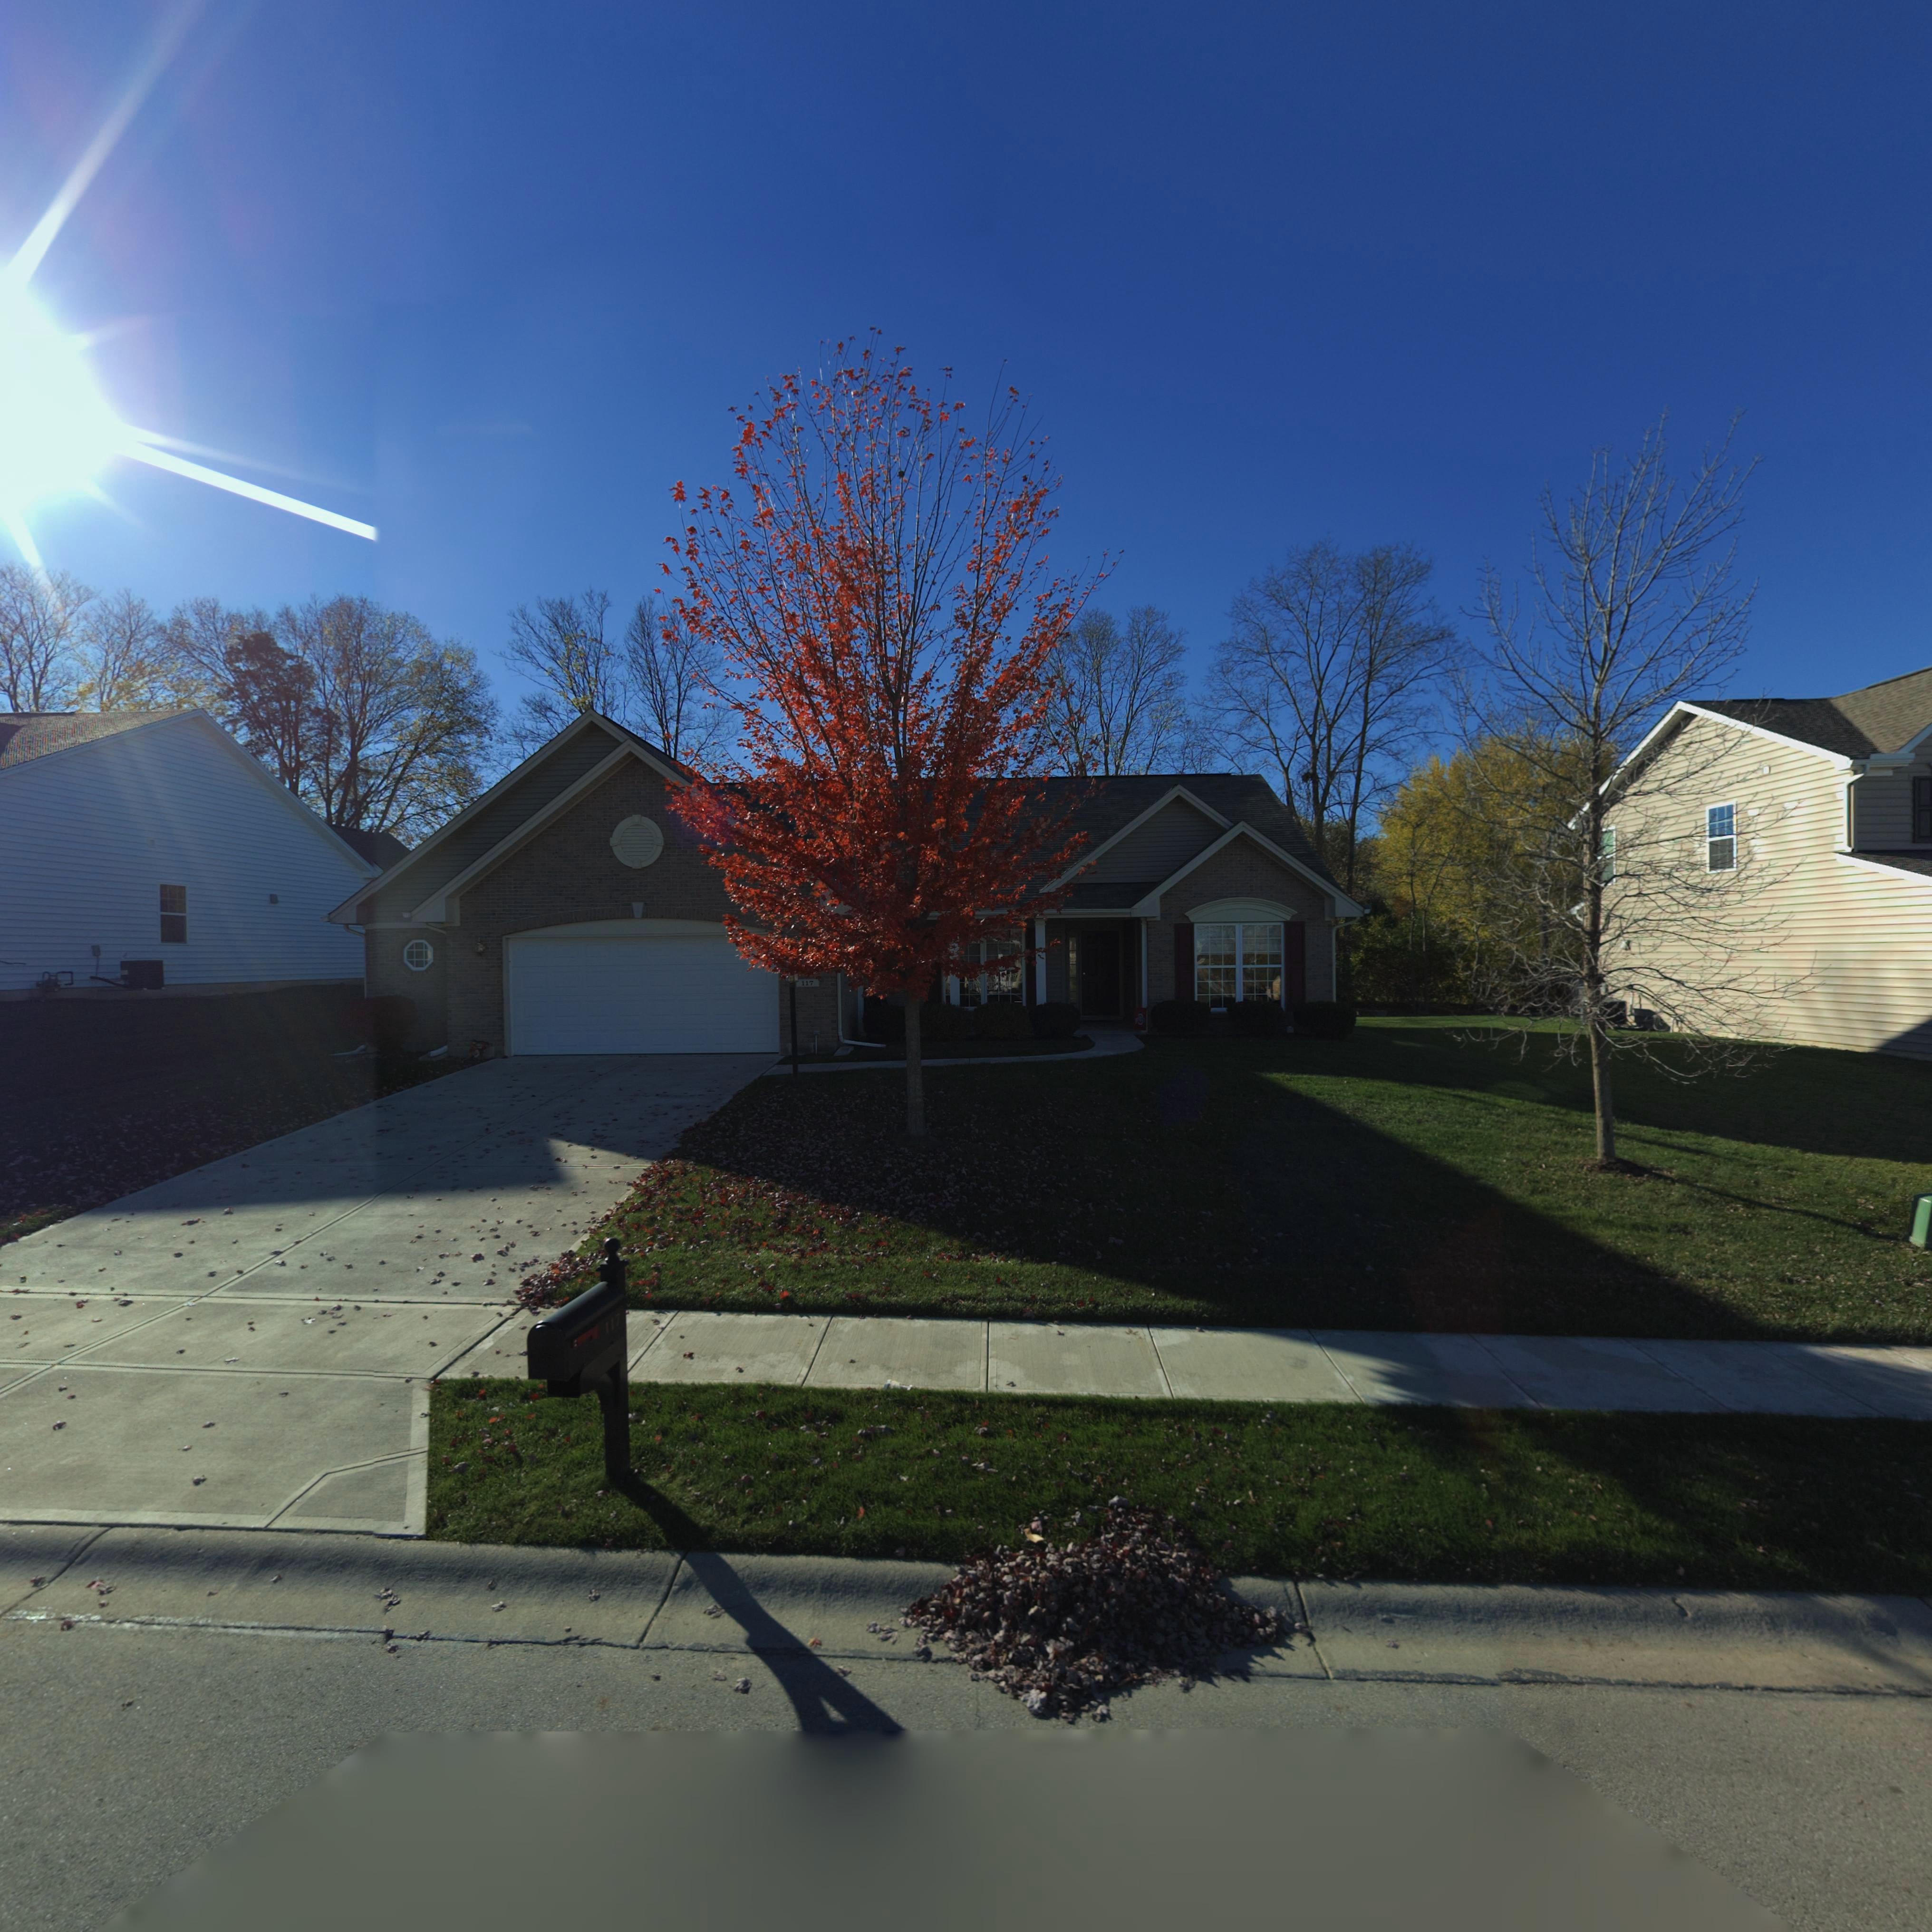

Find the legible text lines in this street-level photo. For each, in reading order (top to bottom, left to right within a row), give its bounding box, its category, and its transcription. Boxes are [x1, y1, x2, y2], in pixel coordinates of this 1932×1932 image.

[801, 980, 815, 986] StreetNumber: 117
[603, 1311, 621, 1339] StreetNumber: 117